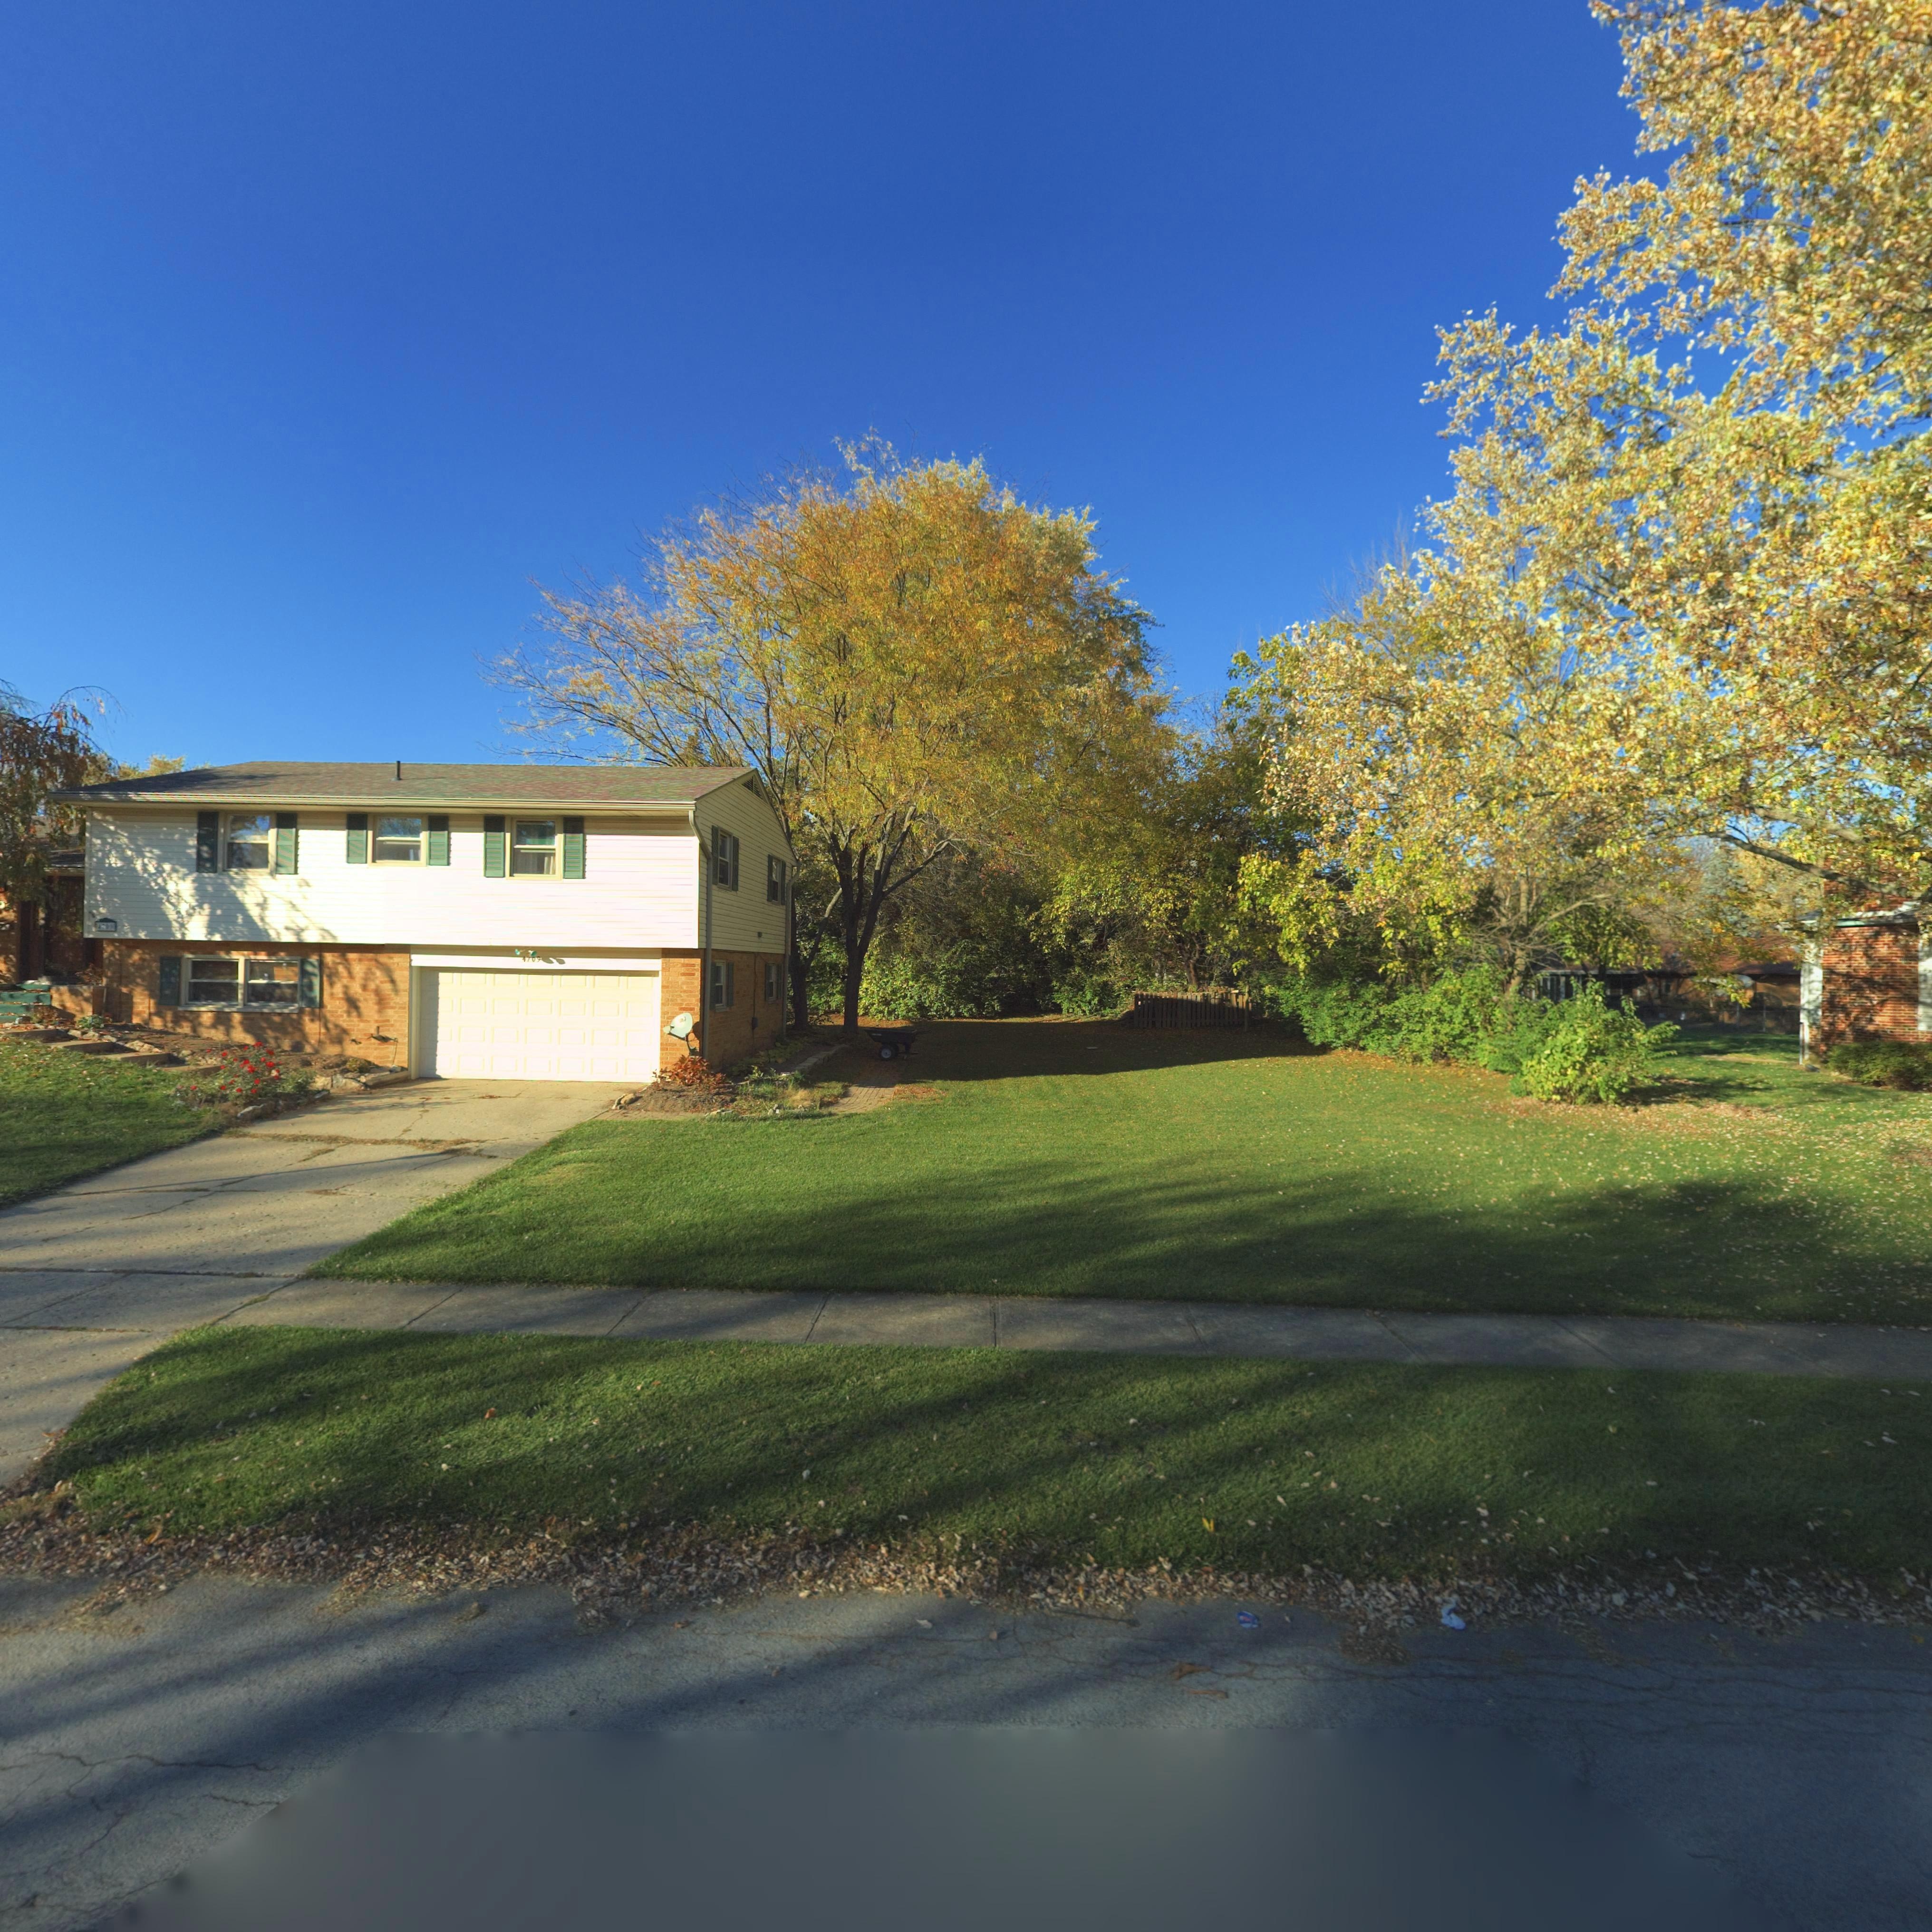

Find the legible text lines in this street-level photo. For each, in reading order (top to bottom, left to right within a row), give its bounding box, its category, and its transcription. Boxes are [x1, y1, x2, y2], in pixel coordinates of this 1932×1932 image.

[521, 955, 542, 964] StreetNumber: 4*09